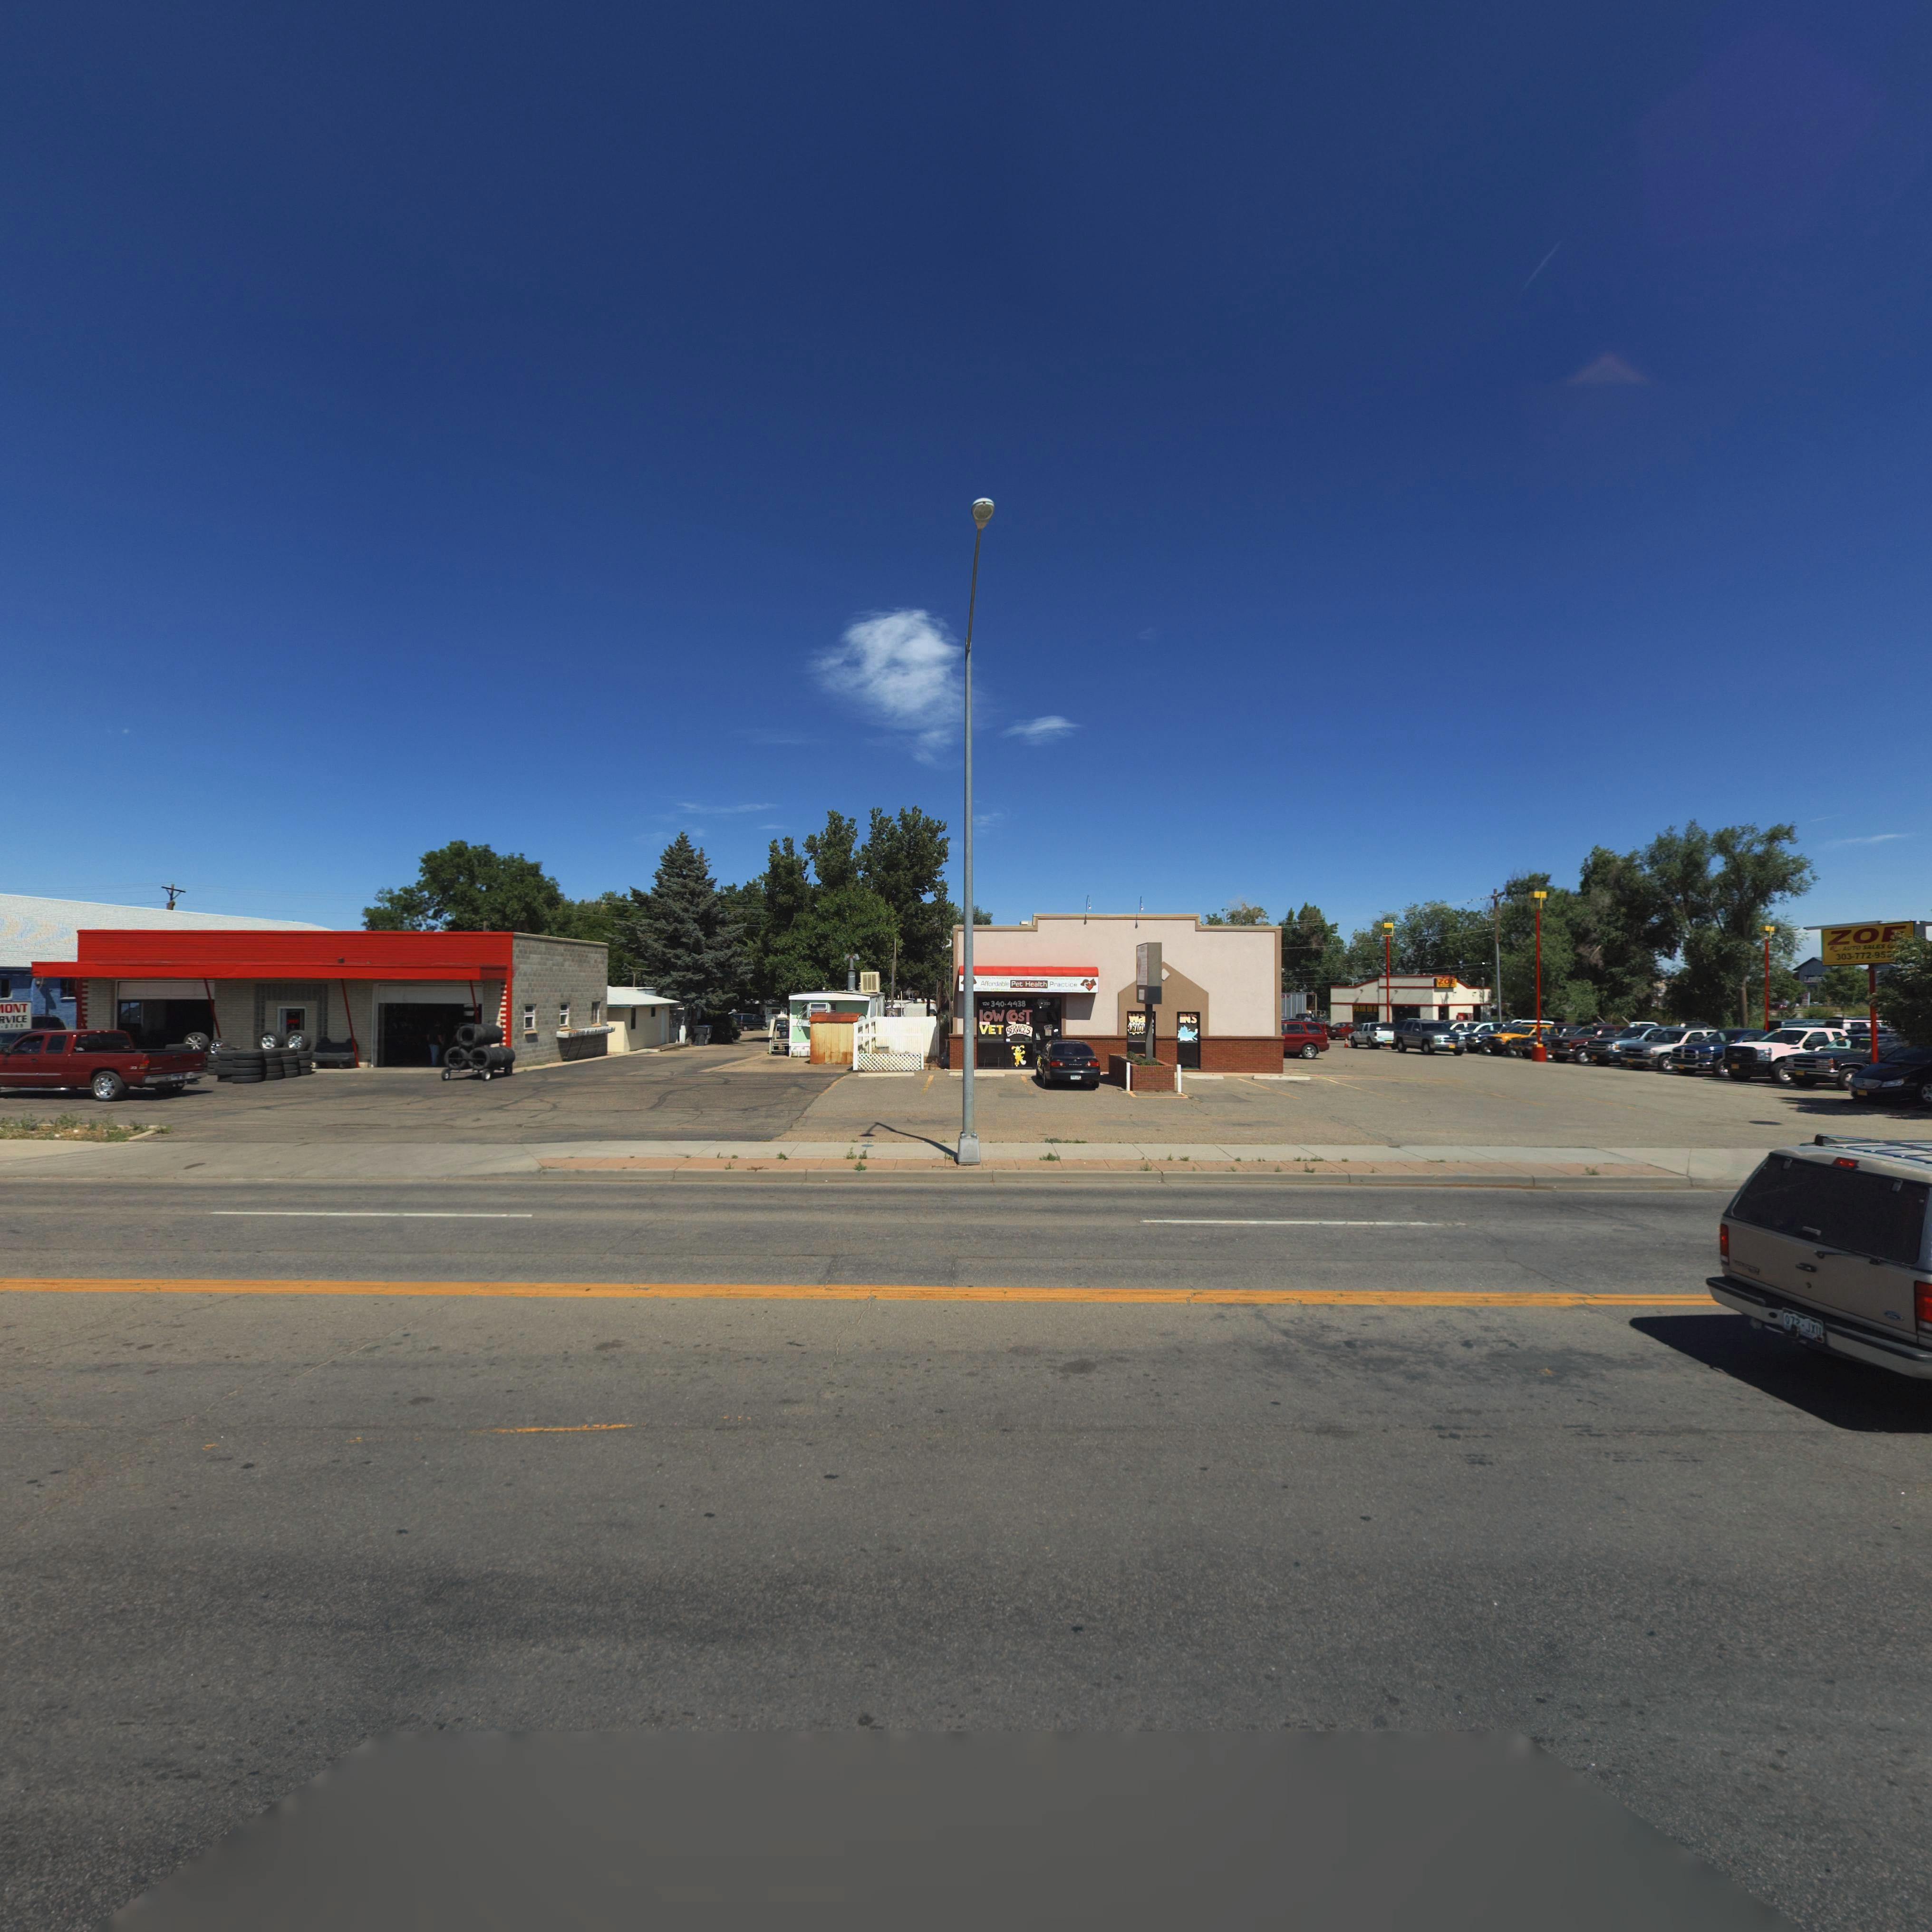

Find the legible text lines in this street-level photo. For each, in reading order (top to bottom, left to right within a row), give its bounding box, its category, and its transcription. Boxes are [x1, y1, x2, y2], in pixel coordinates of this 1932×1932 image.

[1825, 923, 1910, 946] BusinessName: ZOE
[1438, 978, 1456, 984] BusinessName: ZOE
[1043, 1002, 1051, 1005] BusinessName: 200
[5, 1004, 28, 1013] BusinessName: ONT
[5, 1014, 27, 1023] BusinessName: VICE